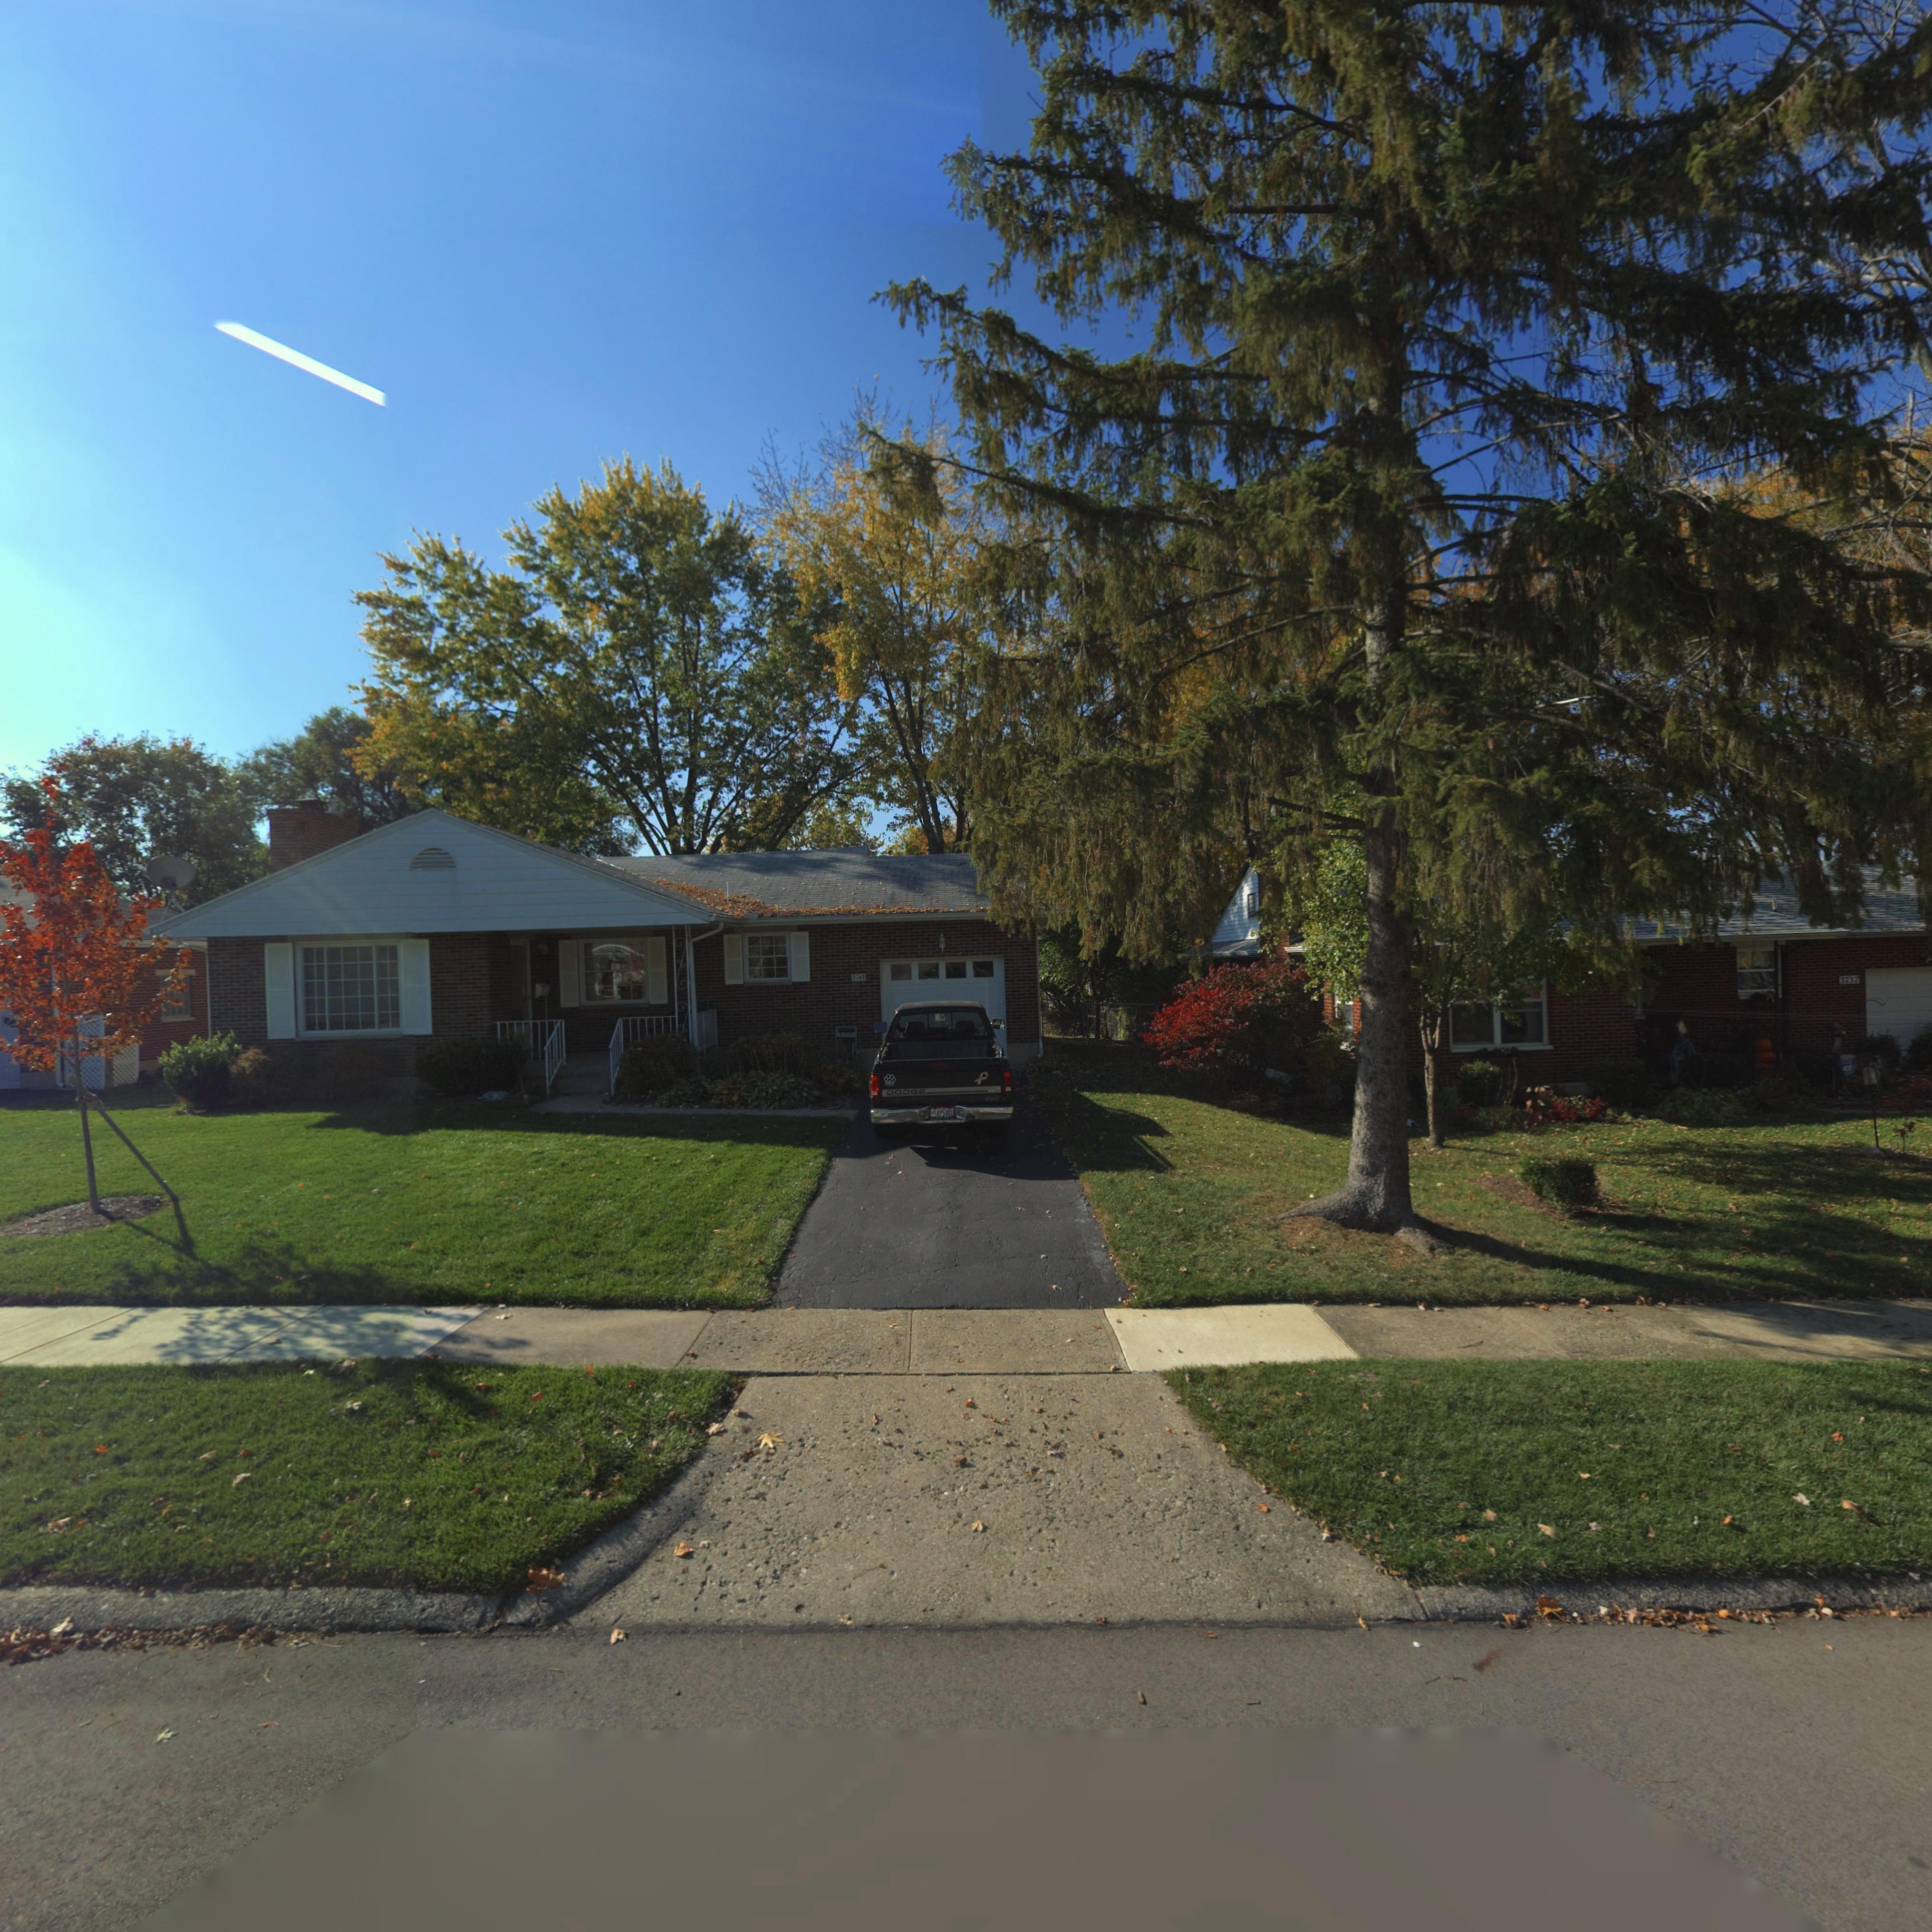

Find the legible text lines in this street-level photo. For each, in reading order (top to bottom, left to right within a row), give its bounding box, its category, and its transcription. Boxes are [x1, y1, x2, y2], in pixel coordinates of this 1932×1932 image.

[851, 973, 866, 982] StreetNumber: 3743
[1839, 976, 1860, 985] StreetNumber: 3737
[886, 1088, 926, 1096] None: DODGE
[936, 1109, 956, 1117] None: AP54GU